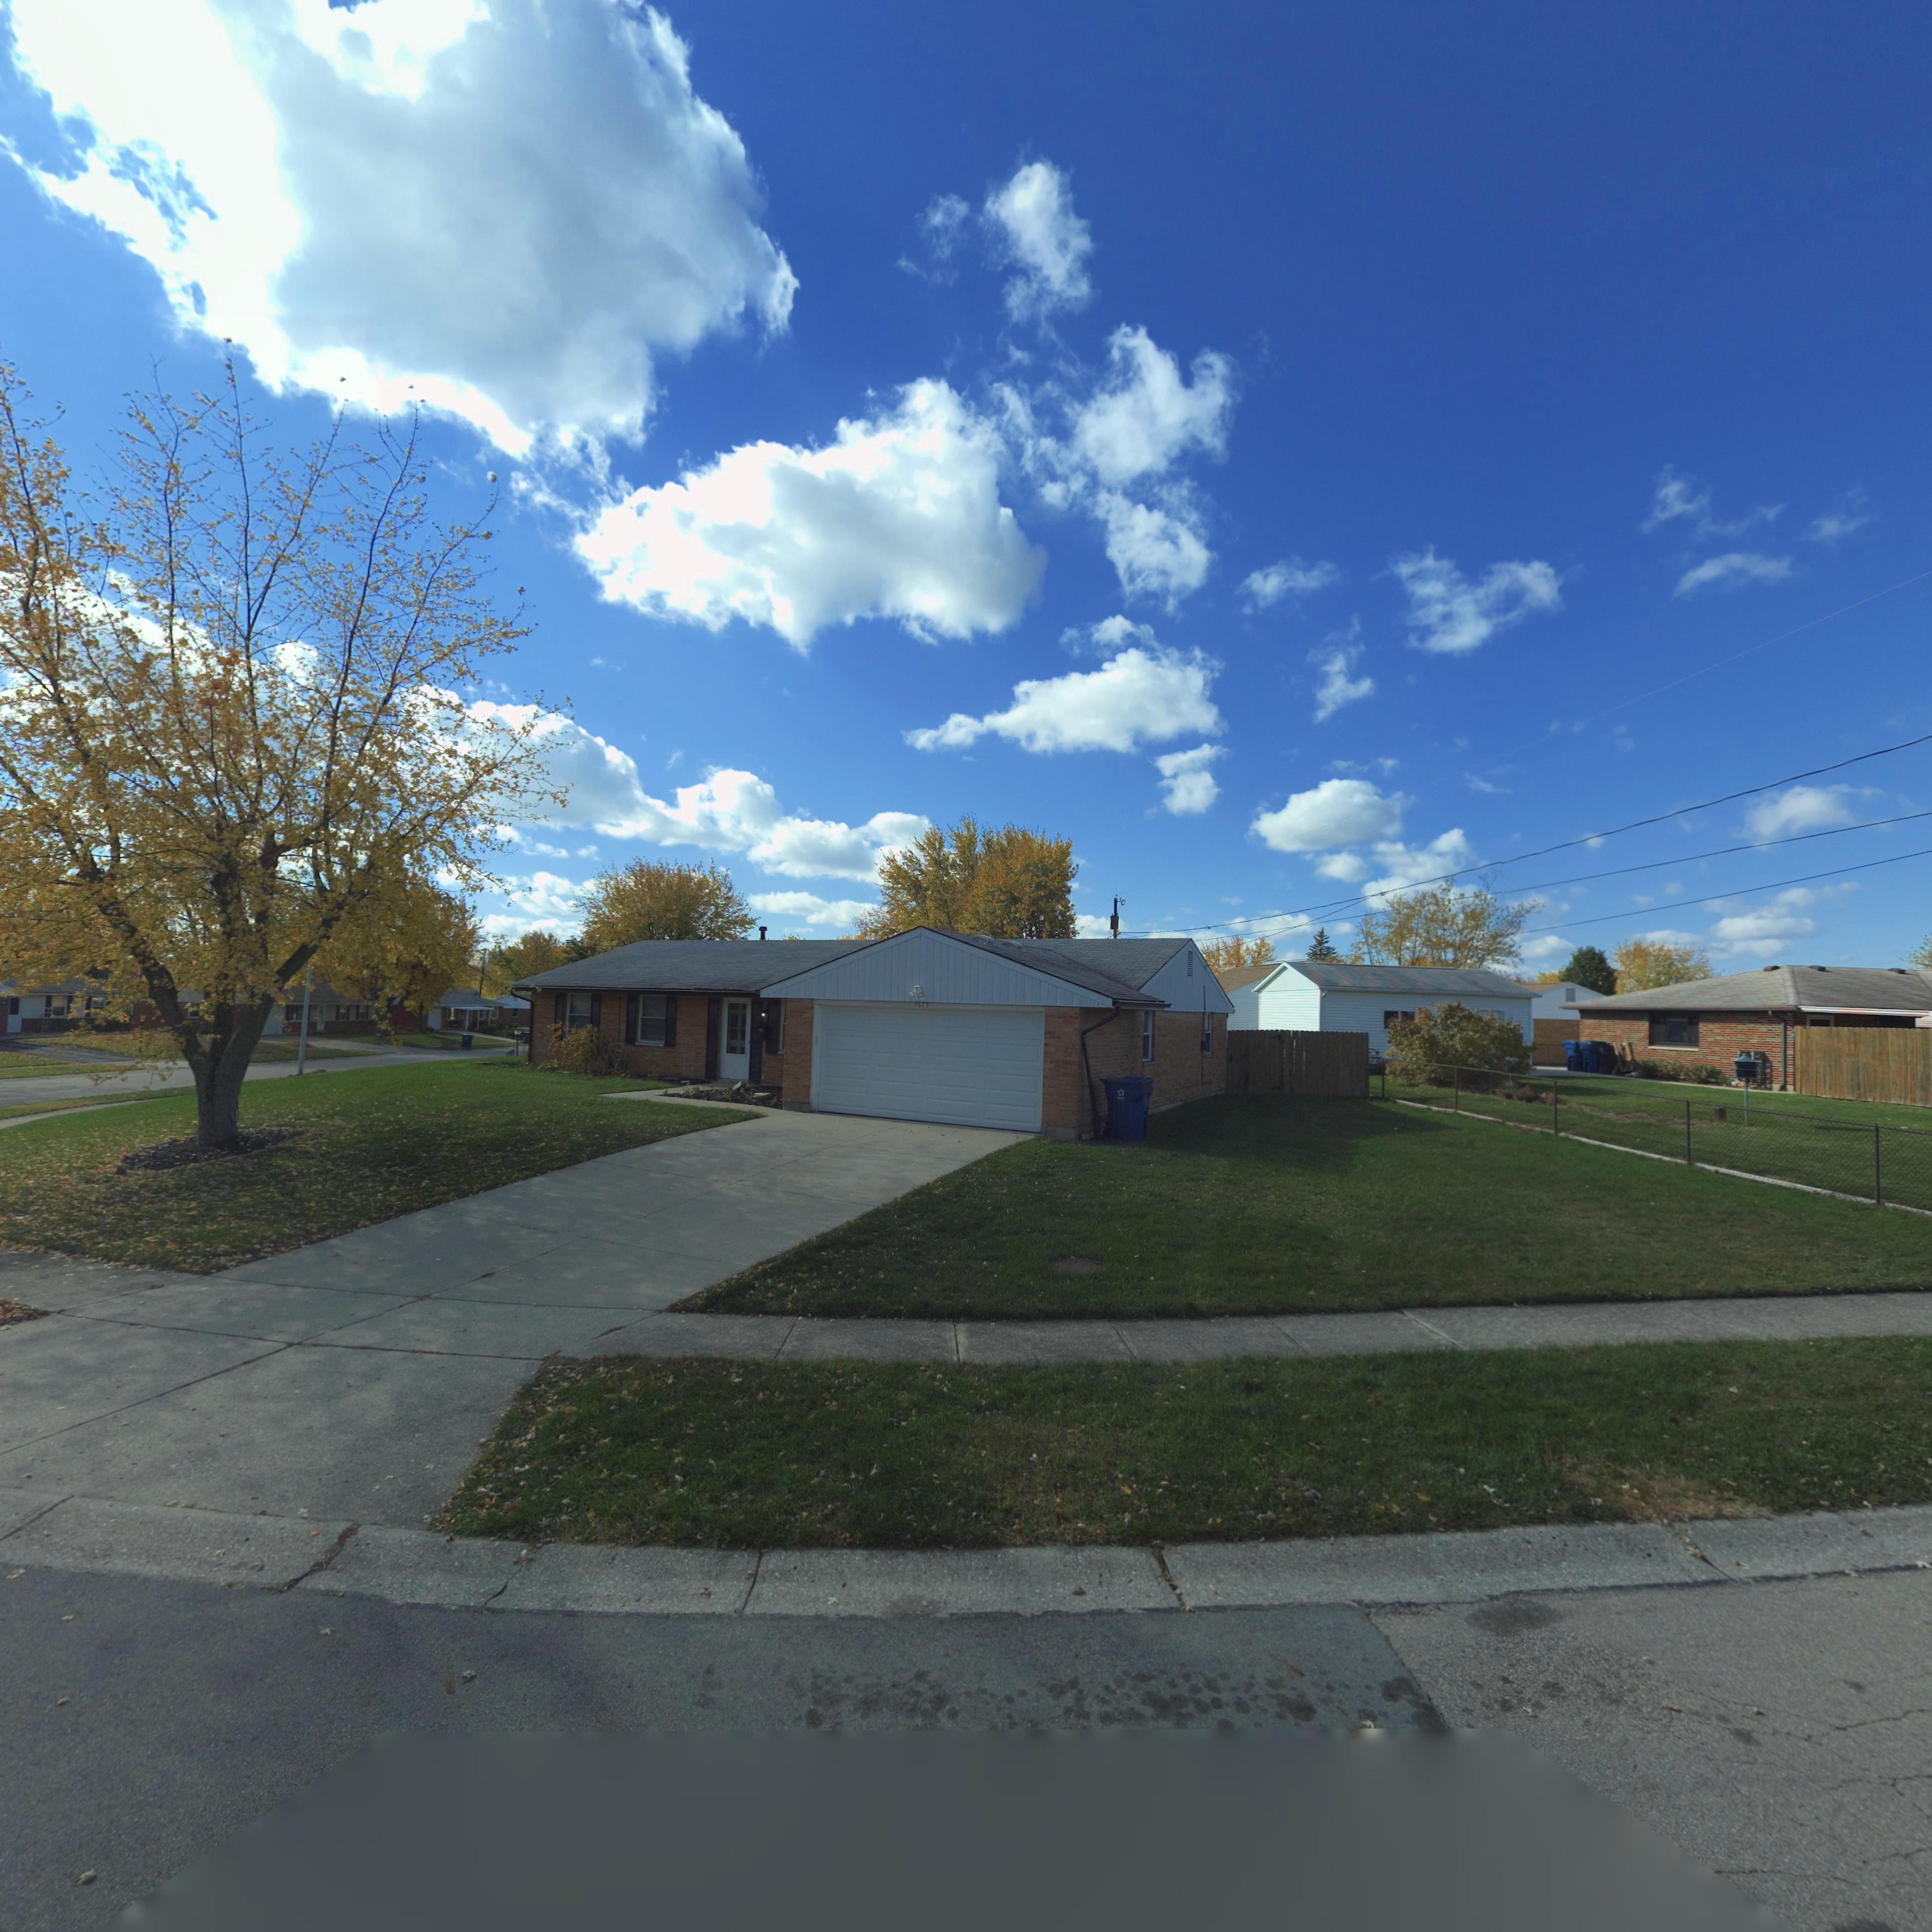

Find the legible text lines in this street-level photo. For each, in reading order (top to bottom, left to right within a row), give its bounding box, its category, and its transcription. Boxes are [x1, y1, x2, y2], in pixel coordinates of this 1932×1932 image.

[914, 1001, 929, 1008] StreetNumber: 7675